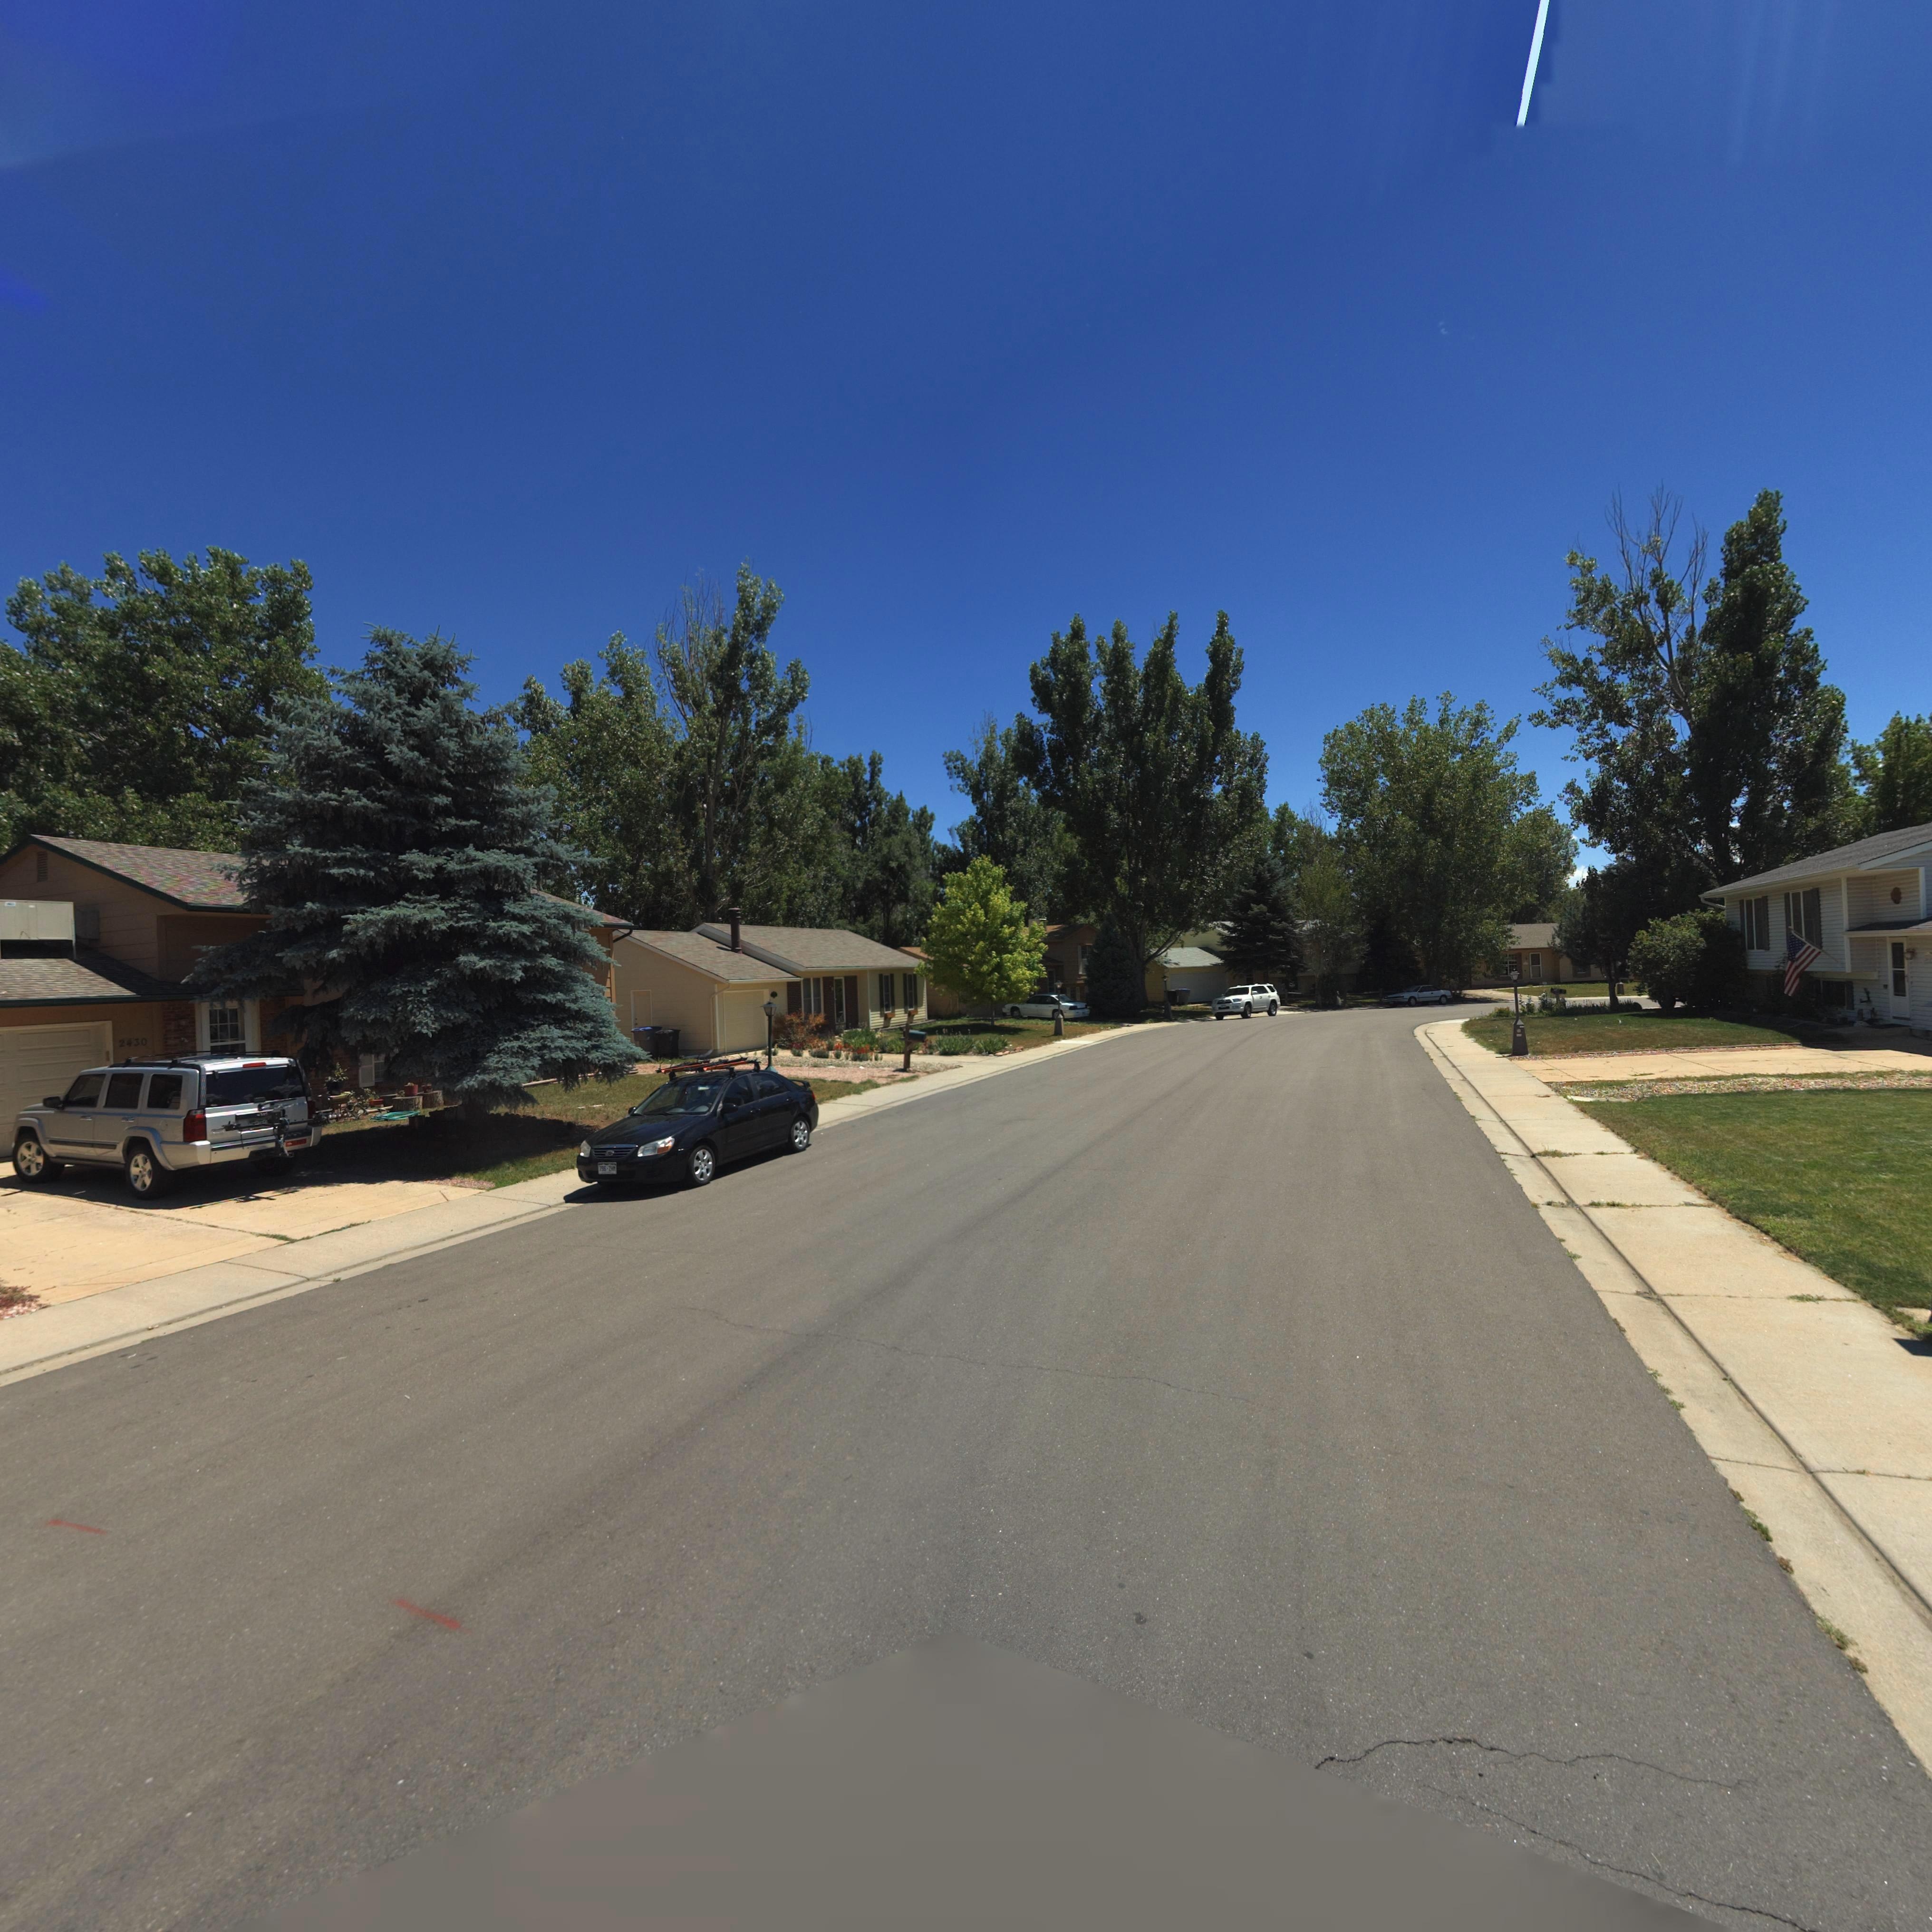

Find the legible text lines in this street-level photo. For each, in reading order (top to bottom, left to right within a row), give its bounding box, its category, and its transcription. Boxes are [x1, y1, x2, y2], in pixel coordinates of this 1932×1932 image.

[118, 1037, 147, 1048] StreetNumber: 2430